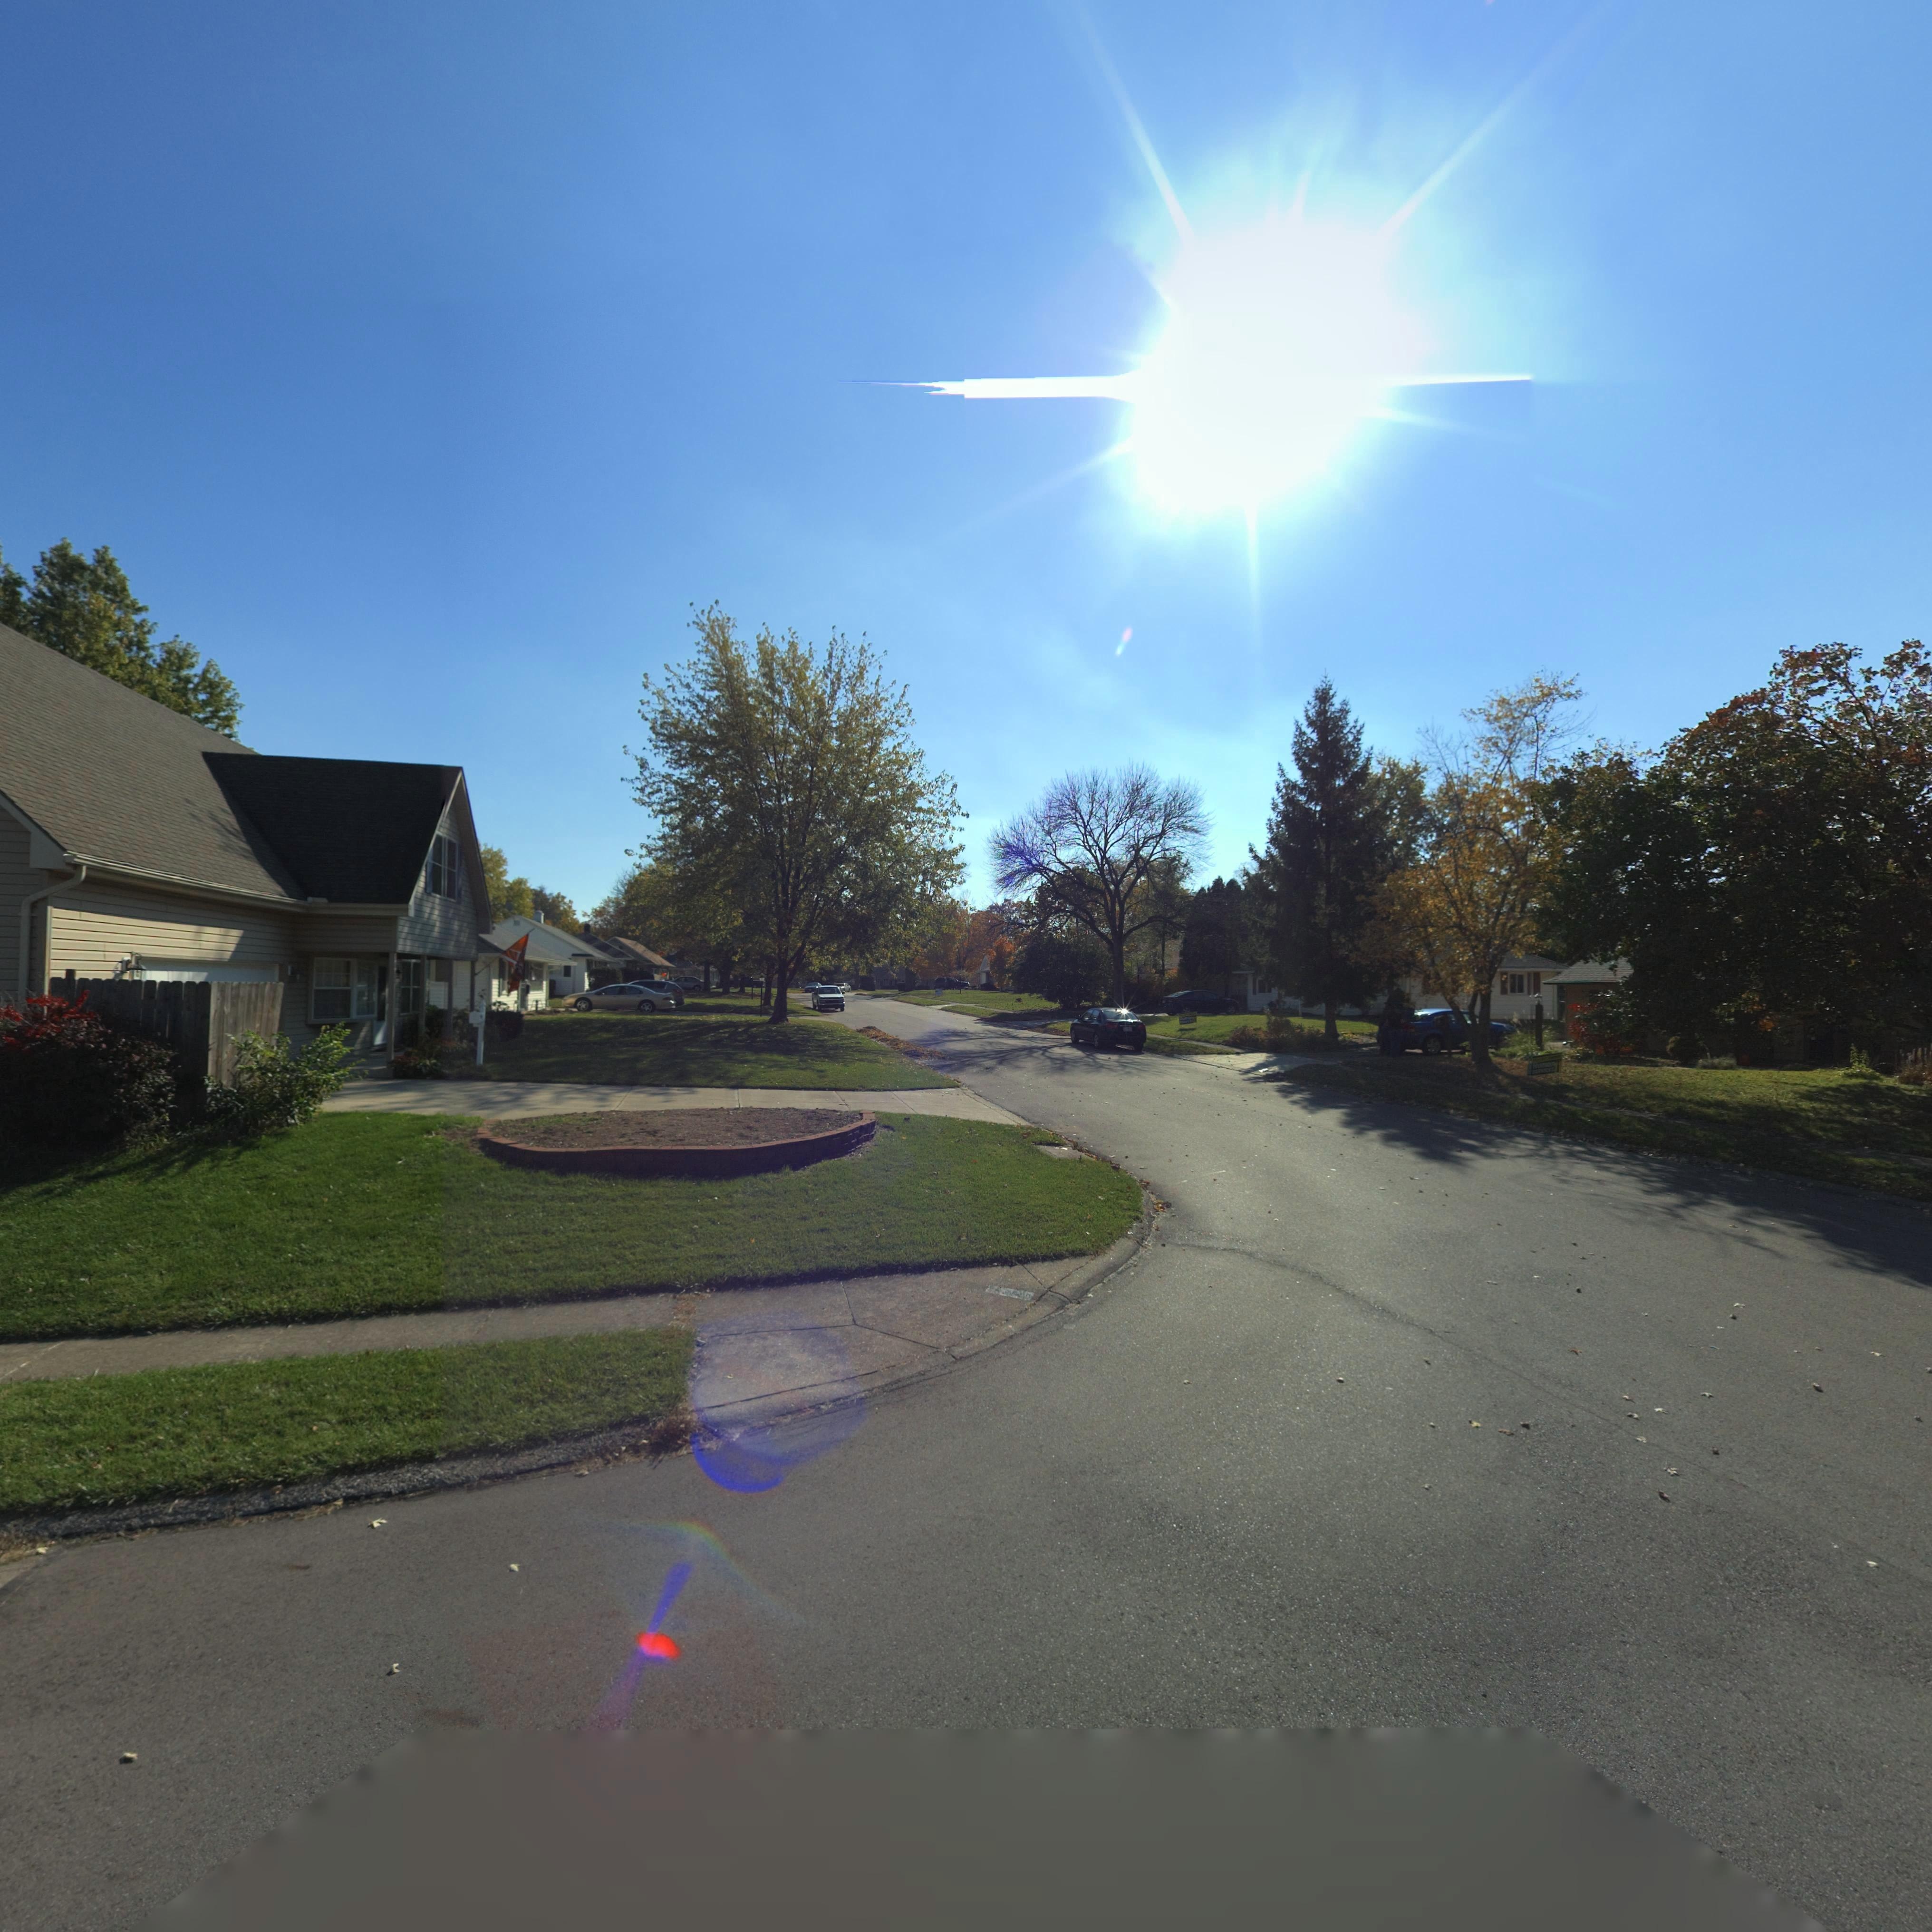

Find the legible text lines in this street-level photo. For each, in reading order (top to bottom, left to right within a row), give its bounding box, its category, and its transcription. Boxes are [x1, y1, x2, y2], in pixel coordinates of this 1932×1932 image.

[1532, 1061, 1555, 1069] None: *u***
[1531, 1067, 1554, 1074] None: SERVIC*S